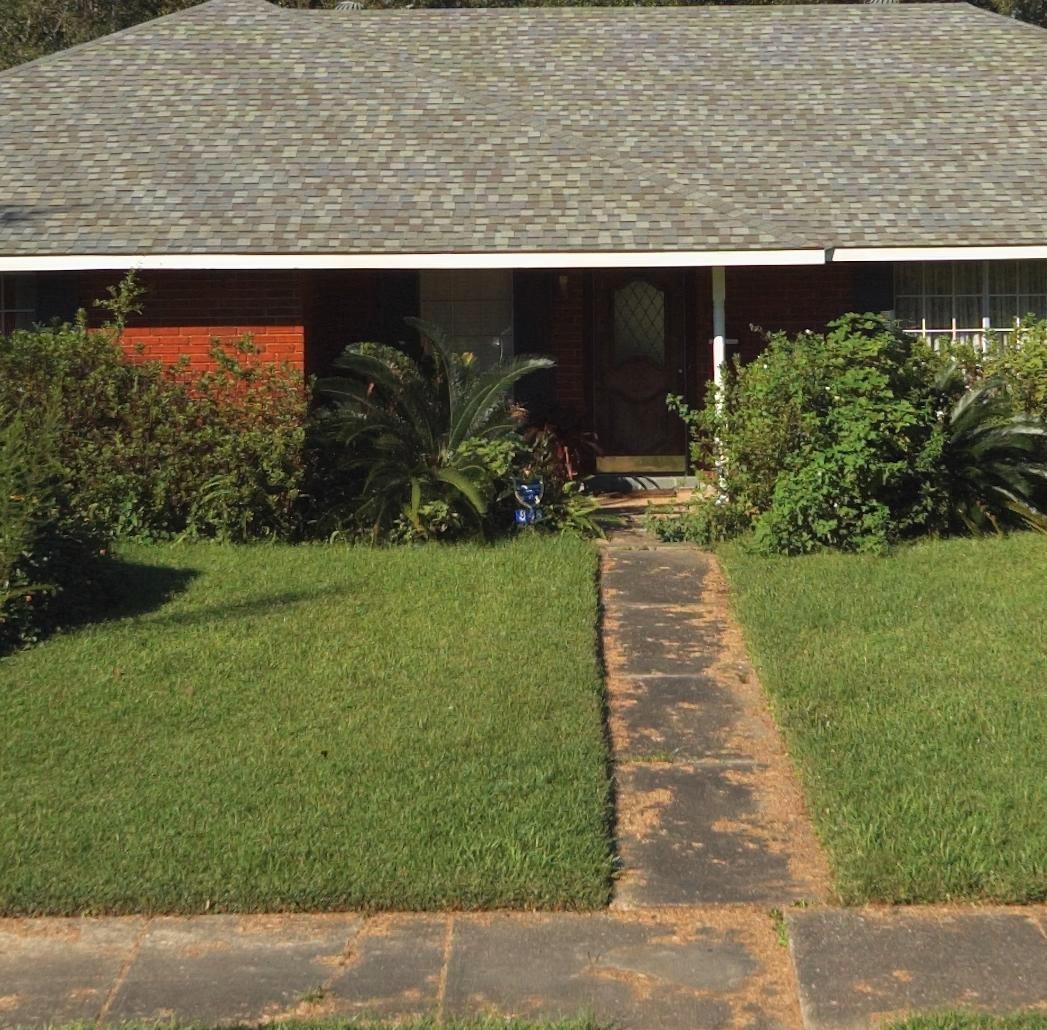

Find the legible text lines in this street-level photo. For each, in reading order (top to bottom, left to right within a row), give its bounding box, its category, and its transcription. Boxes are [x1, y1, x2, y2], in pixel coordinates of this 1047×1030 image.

[517, 507, 544, 524] StreetNumber: *48